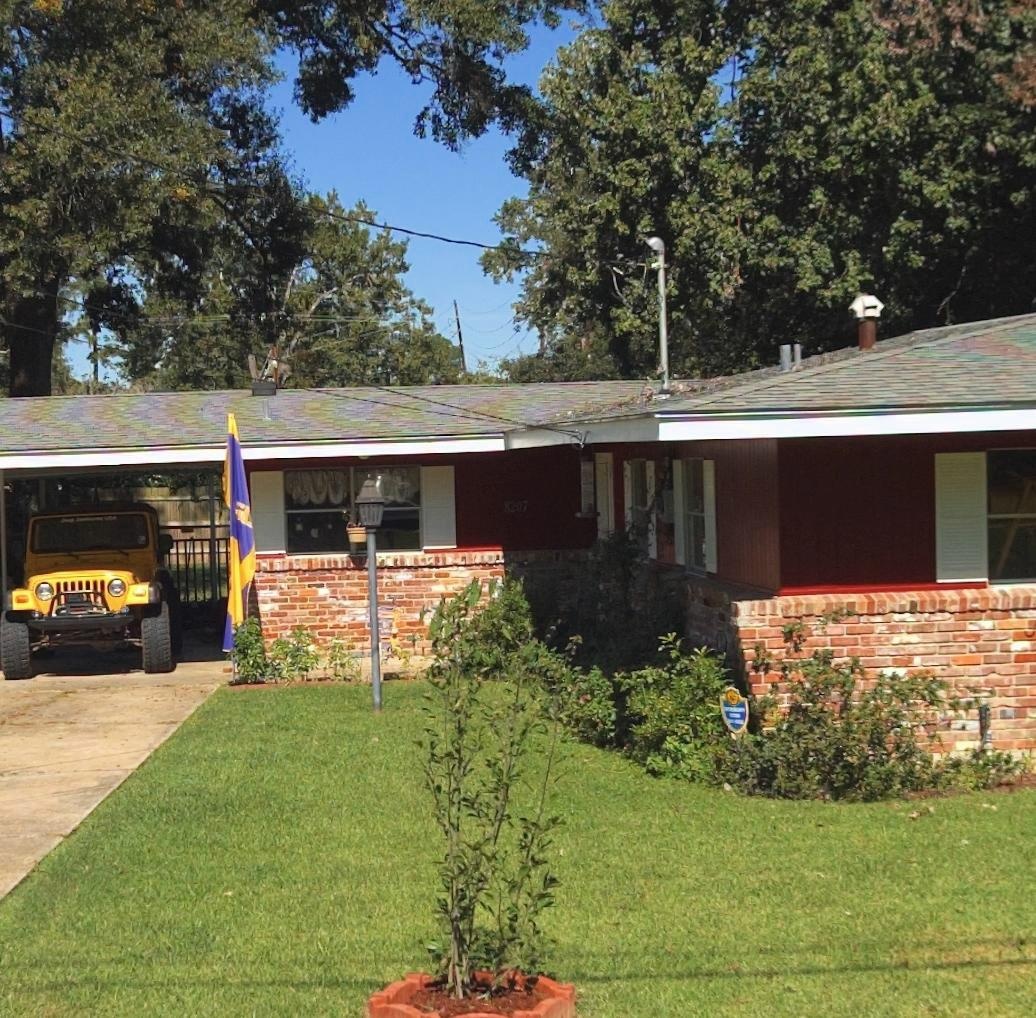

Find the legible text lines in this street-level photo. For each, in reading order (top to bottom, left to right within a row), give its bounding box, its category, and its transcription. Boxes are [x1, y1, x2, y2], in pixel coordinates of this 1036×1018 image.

[501, 497, 532, 516] StreetNumber: 8207